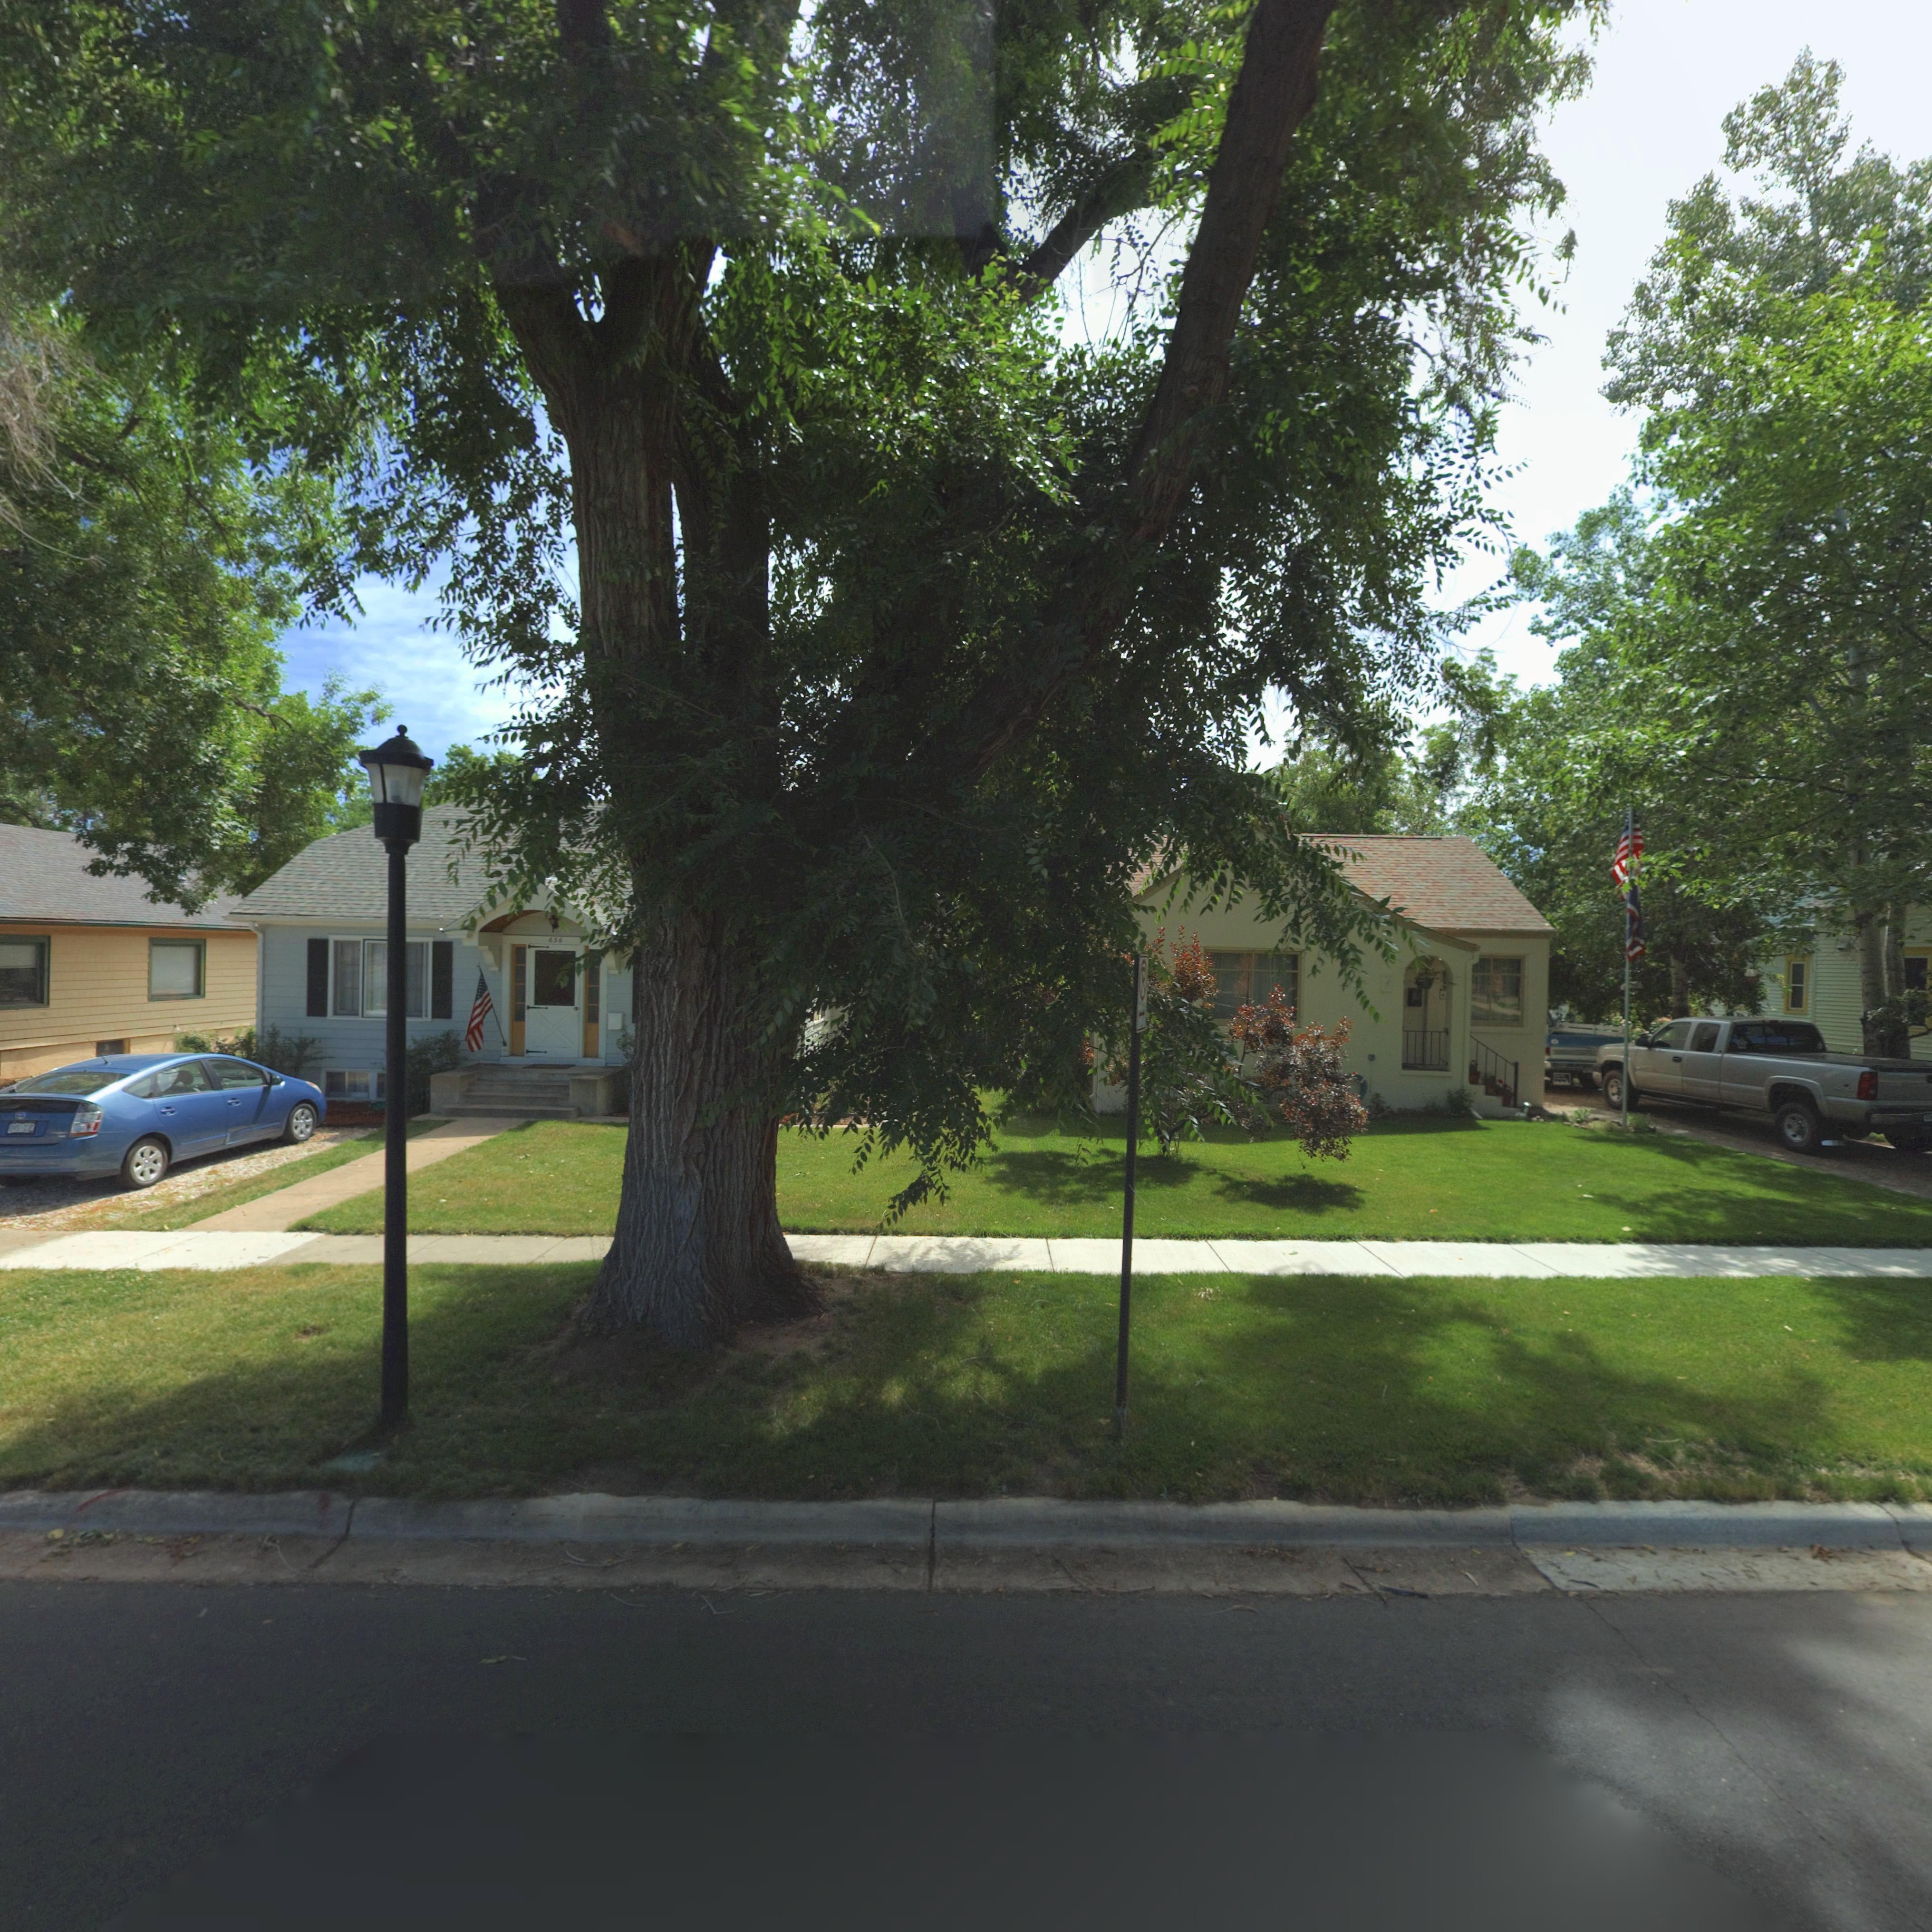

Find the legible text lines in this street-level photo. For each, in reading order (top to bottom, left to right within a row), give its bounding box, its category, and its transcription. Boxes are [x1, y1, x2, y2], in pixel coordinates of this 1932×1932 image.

[547, 937, 564, 943] StreetNumber: 636